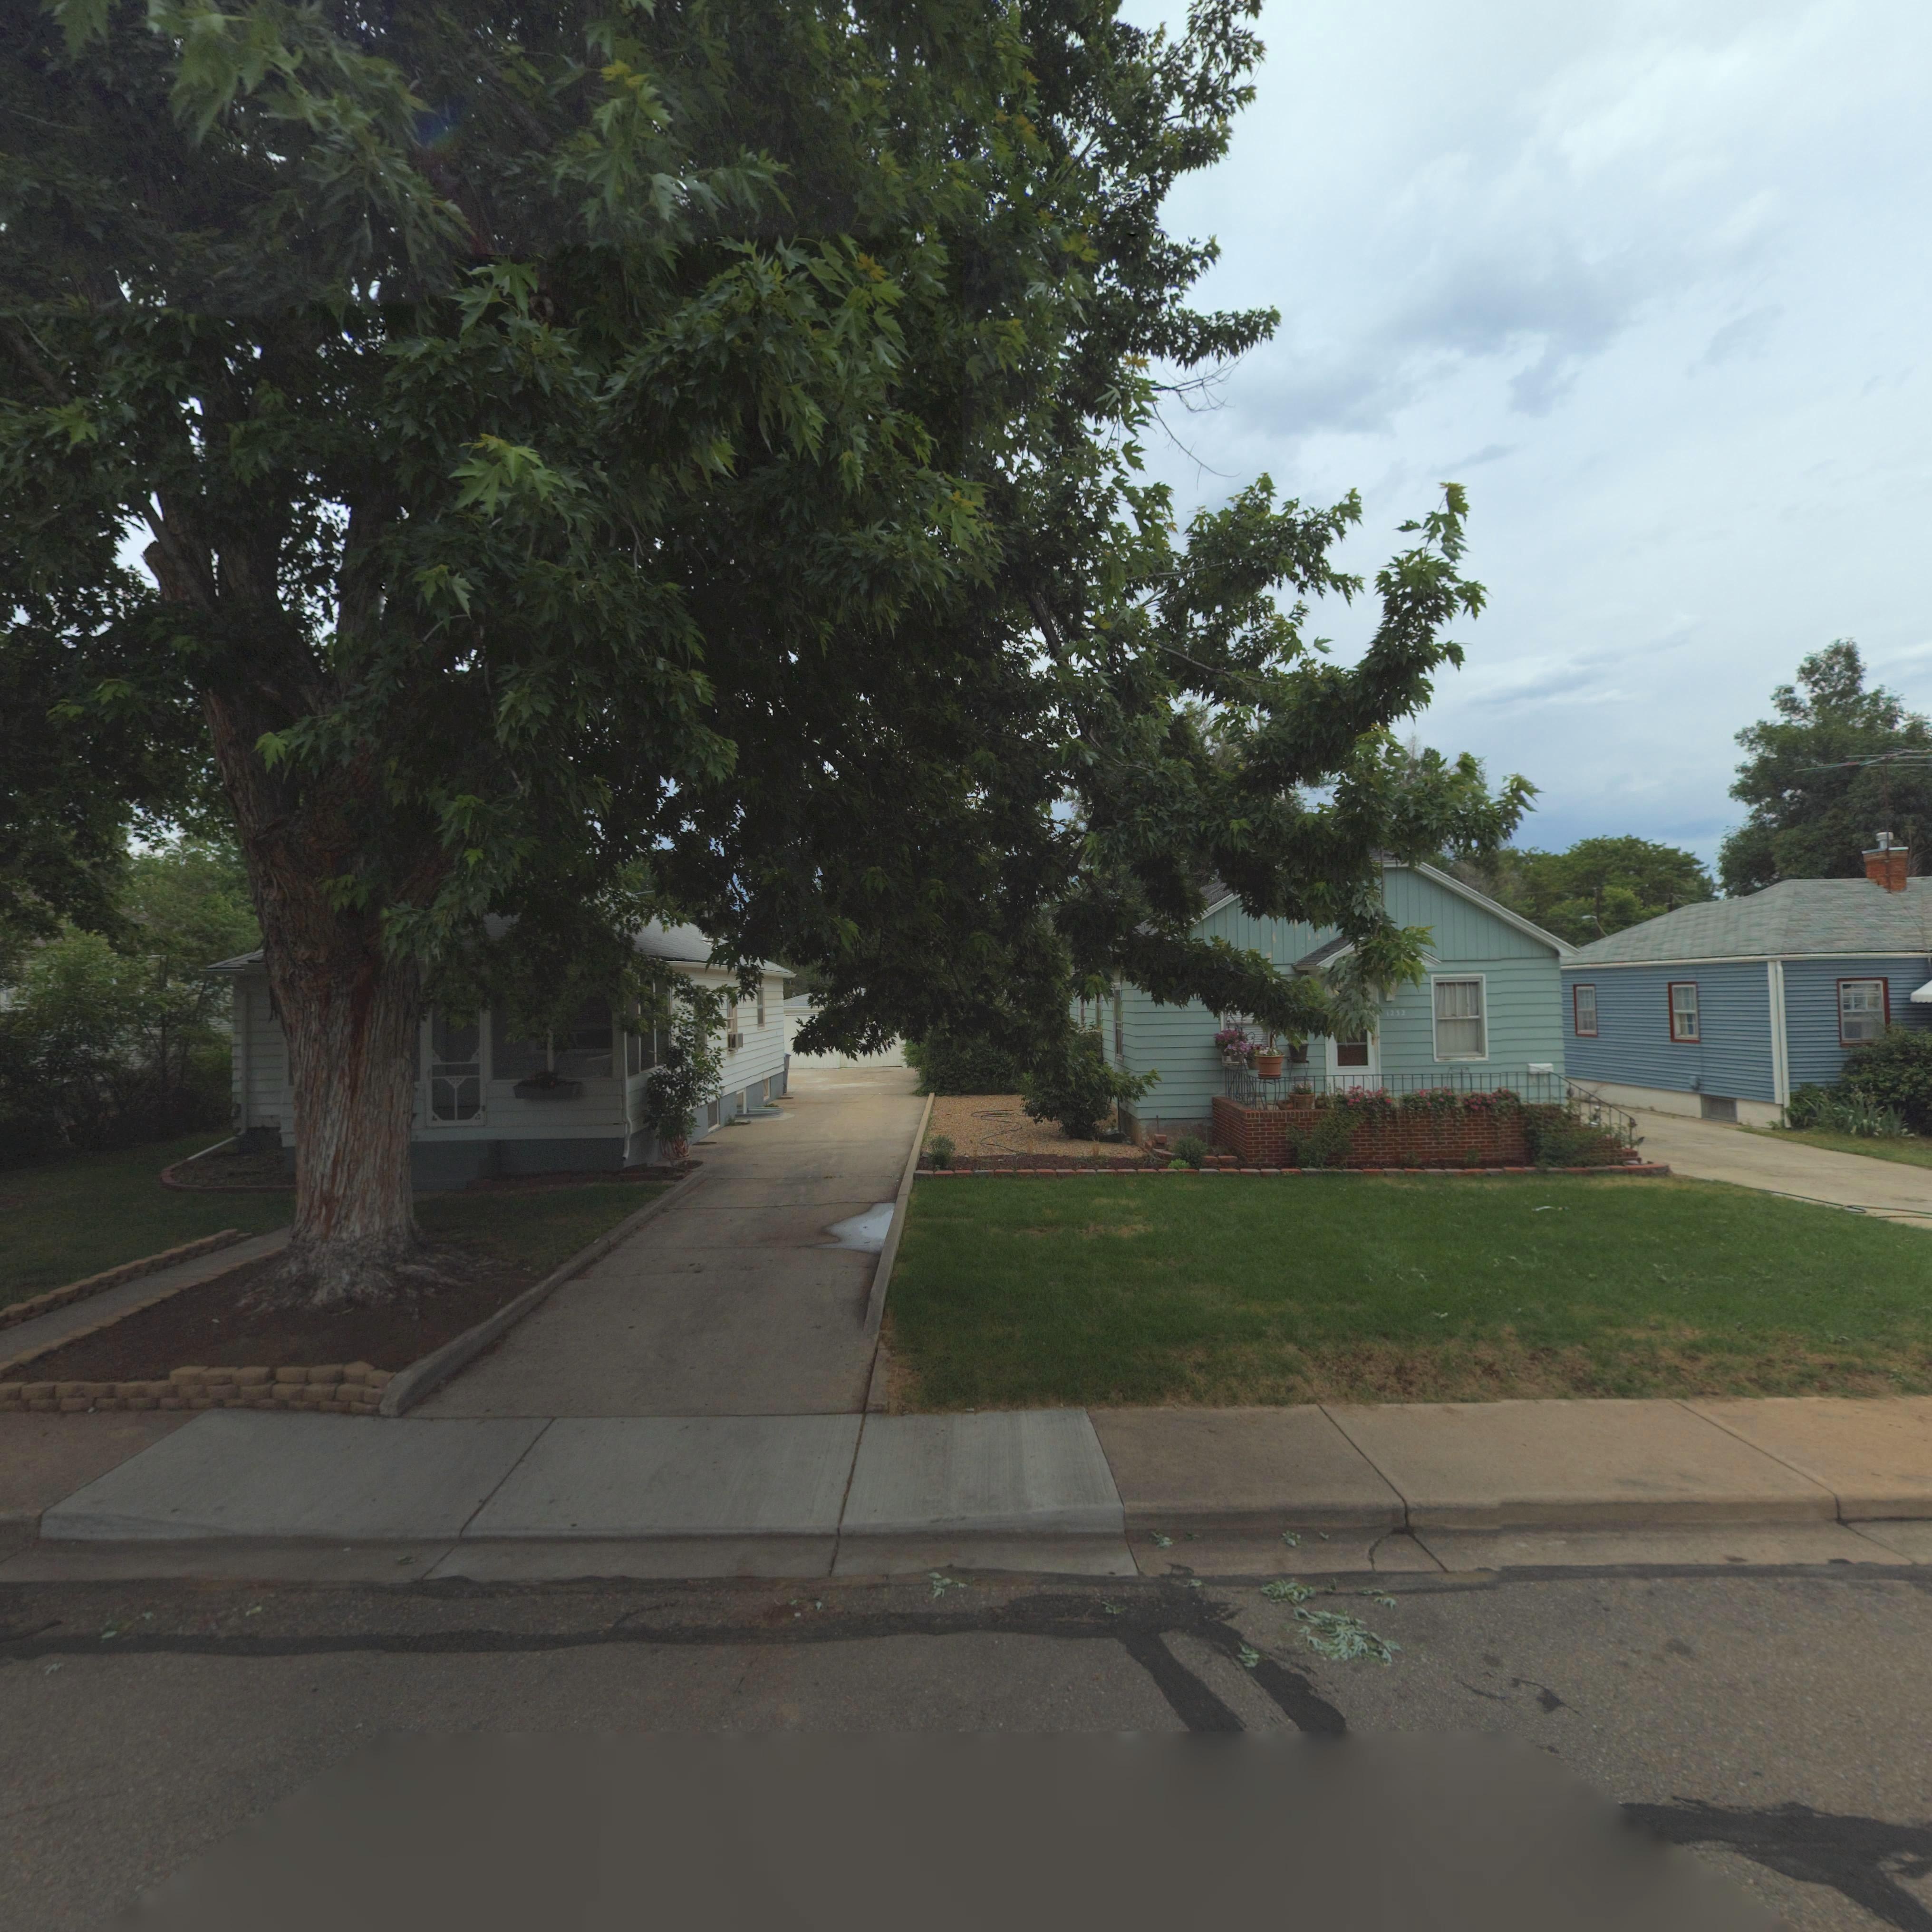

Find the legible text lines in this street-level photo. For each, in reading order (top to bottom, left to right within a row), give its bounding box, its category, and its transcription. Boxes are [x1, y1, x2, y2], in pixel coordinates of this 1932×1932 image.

[1386, 1010, 1405, 1015] StreetNumber: 1252